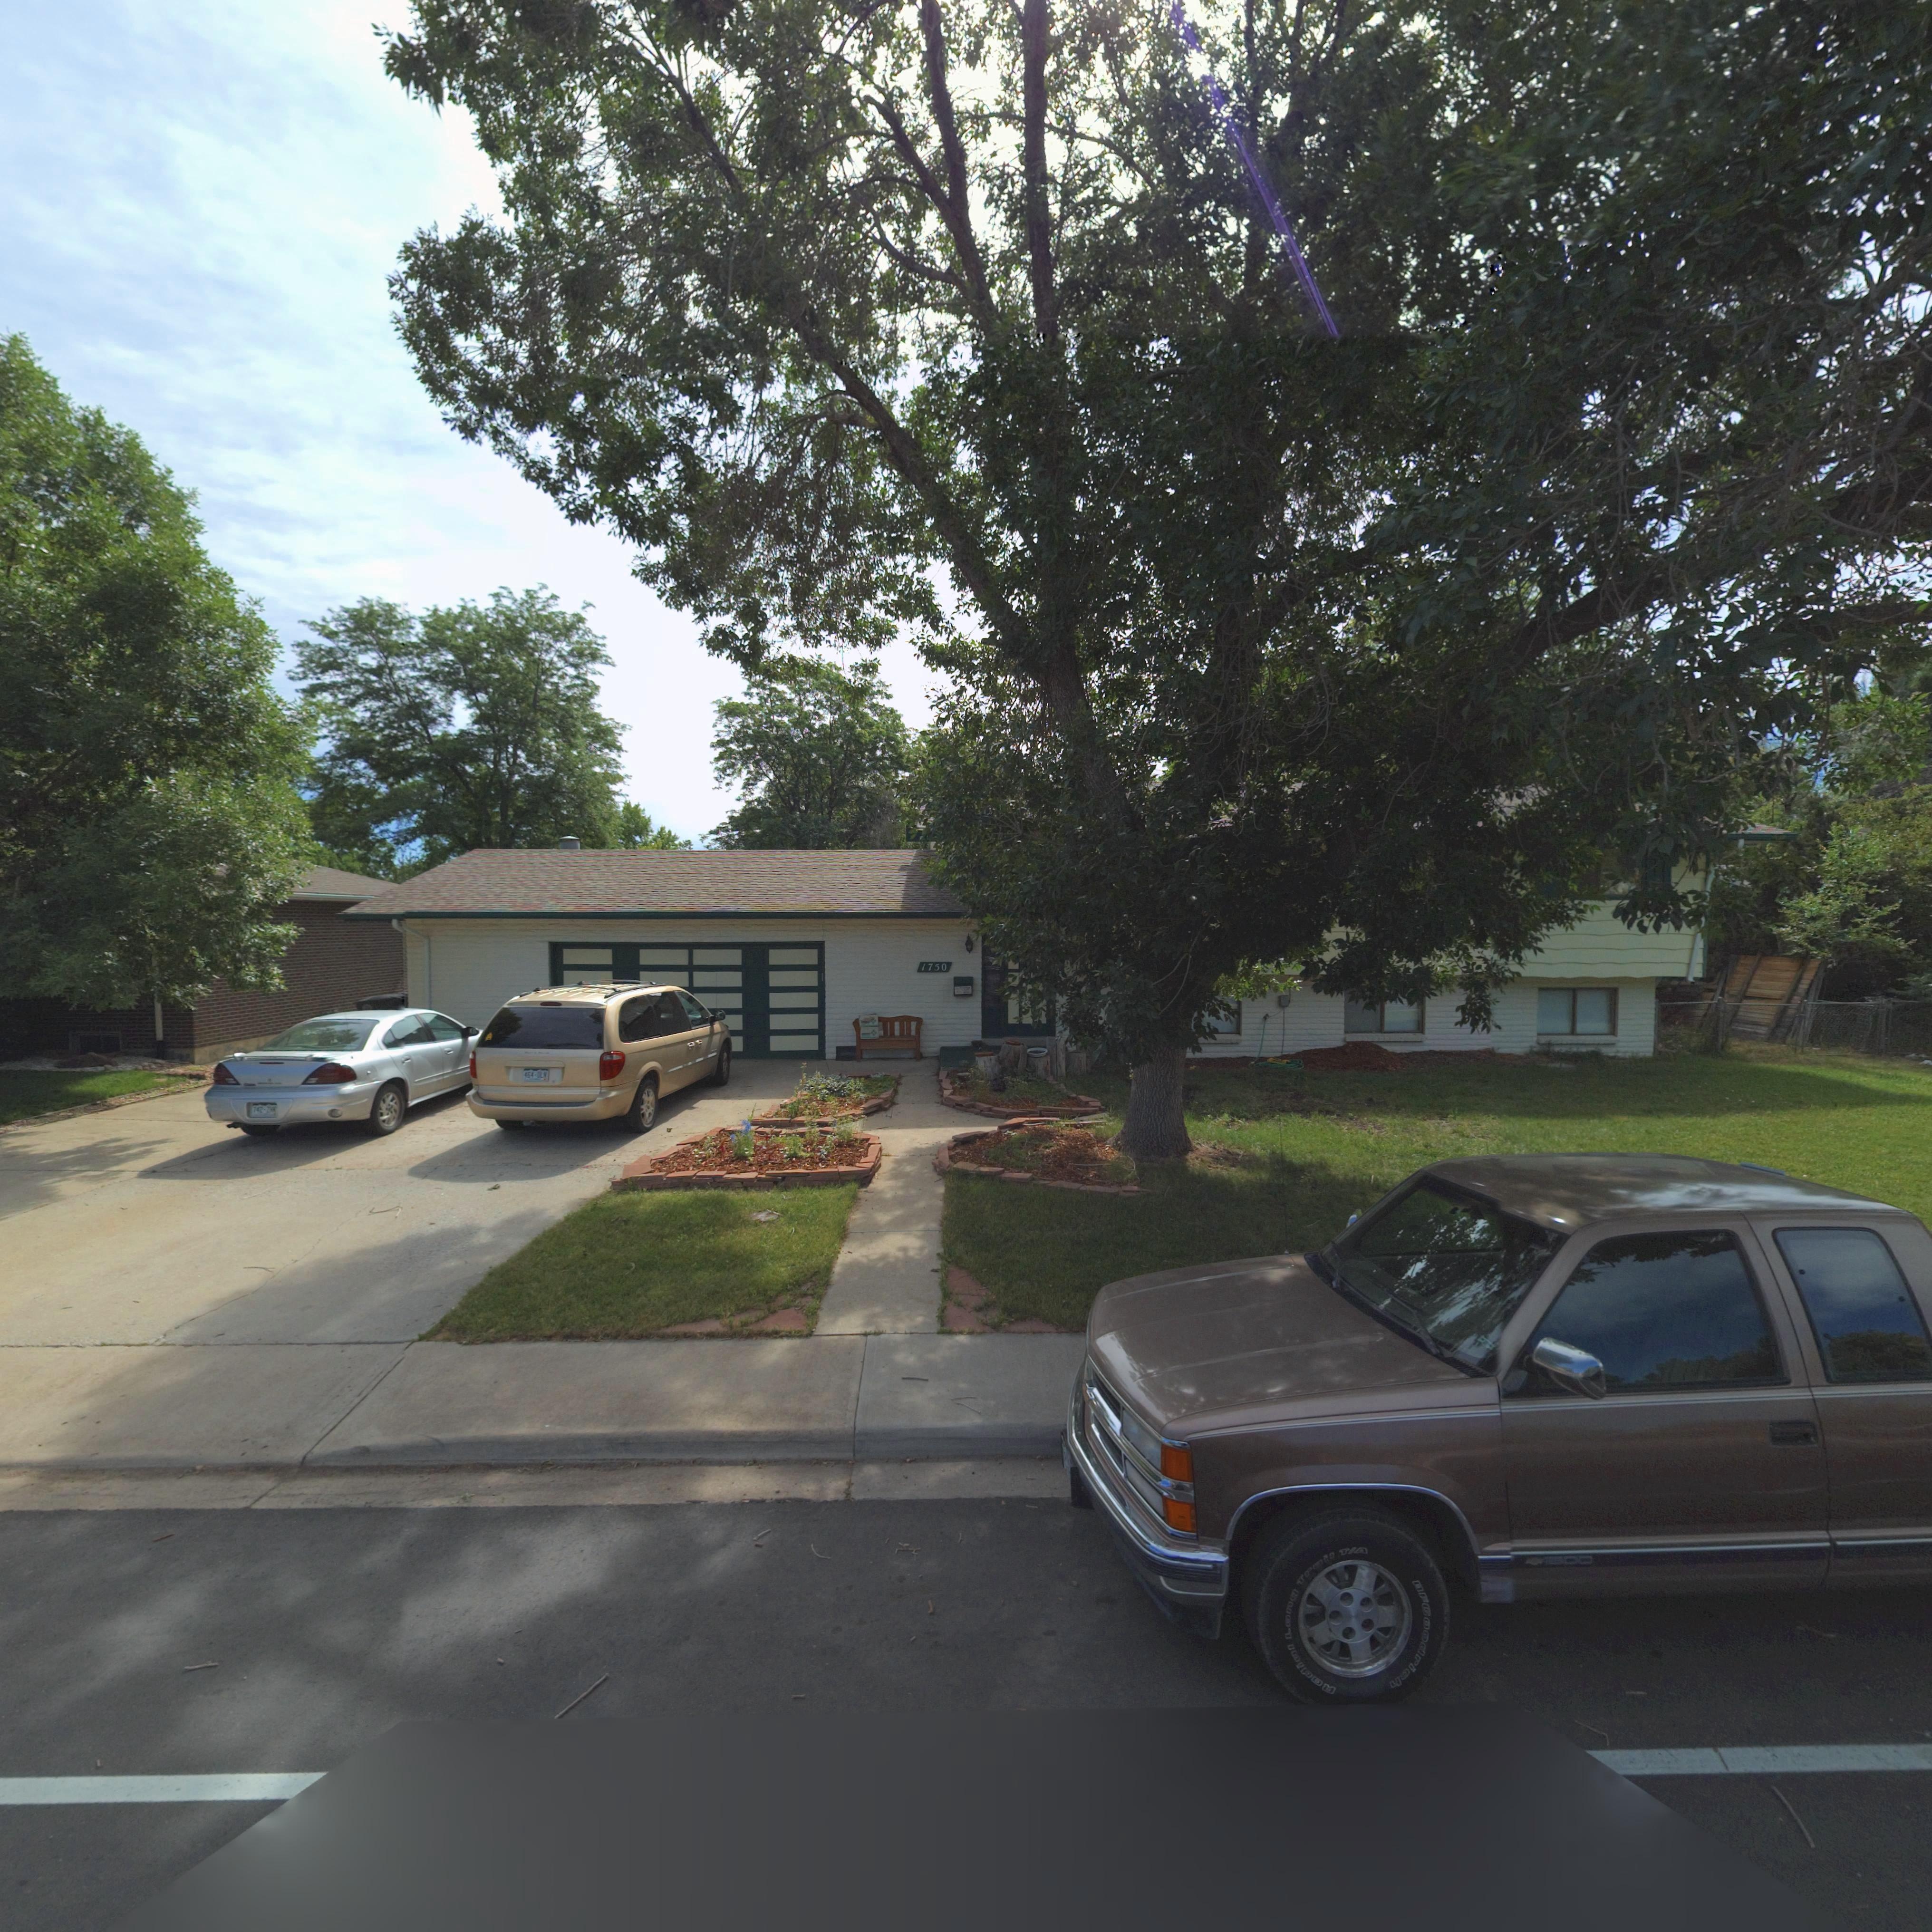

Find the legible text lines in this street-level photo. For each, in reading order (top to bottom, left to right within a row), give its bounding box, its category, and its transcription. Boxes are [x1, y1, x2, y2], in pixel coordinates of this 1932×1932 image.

[920, 963, 947, 972] StreetNumber: 1750